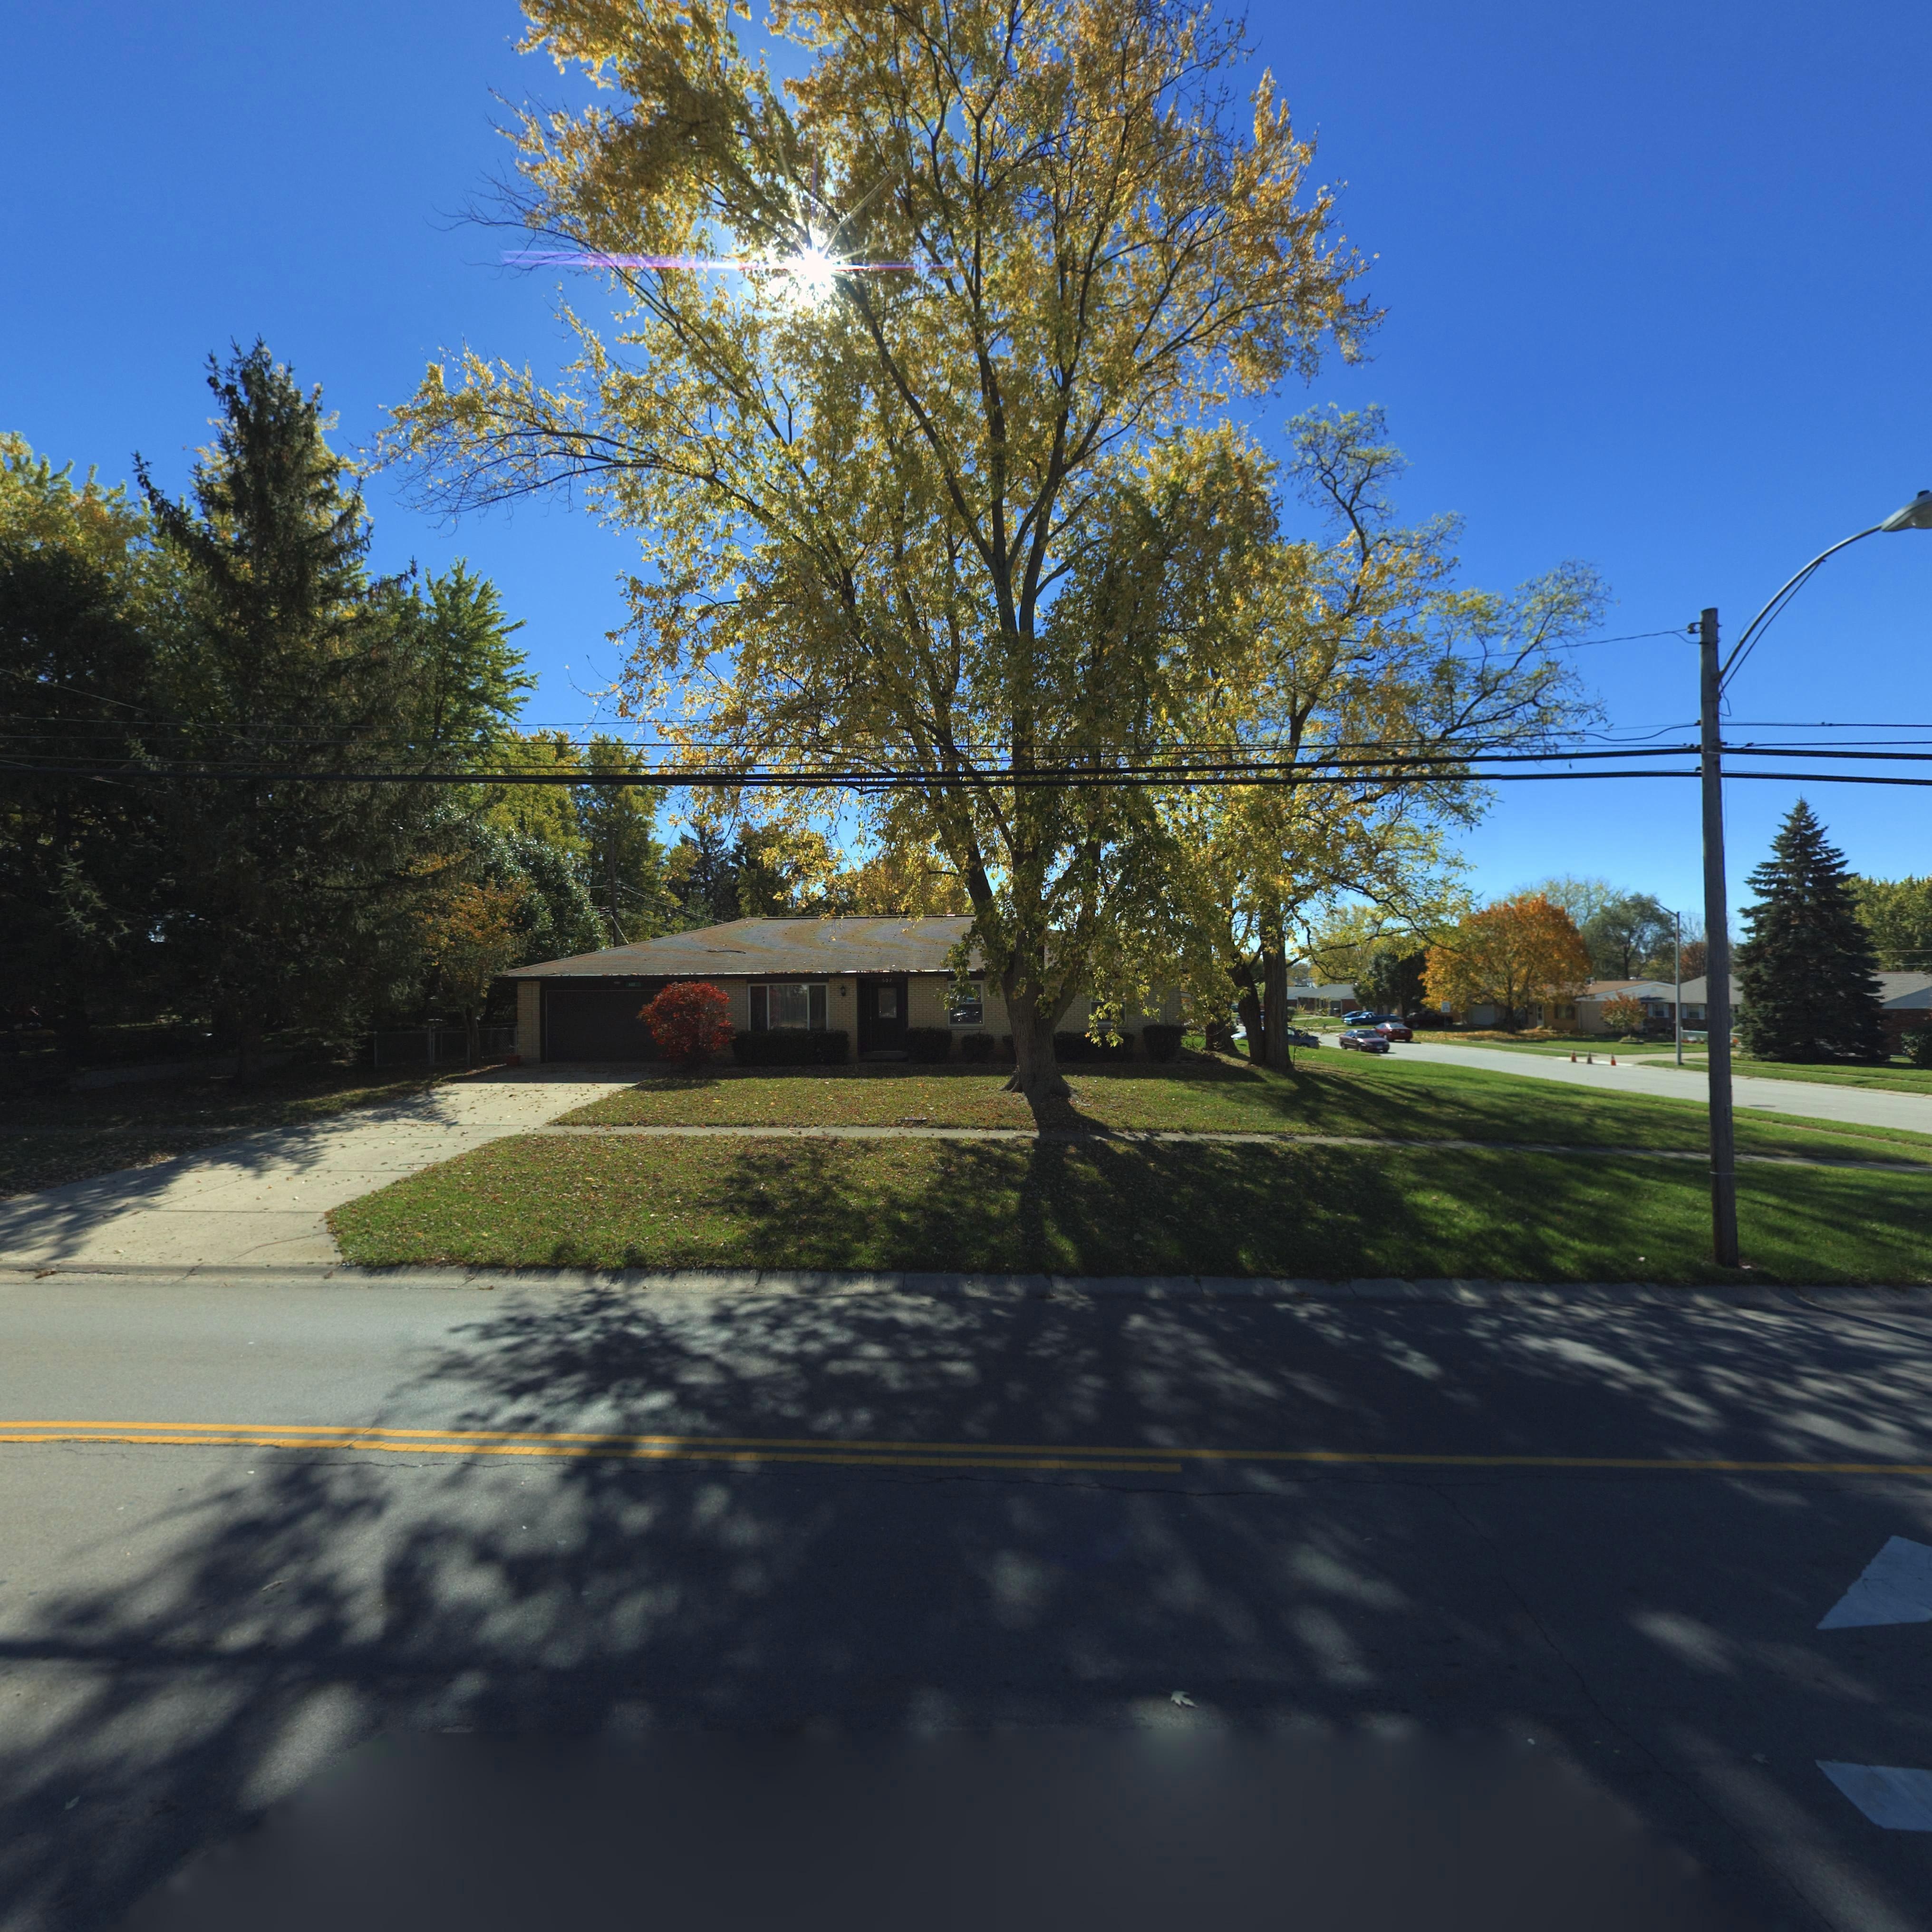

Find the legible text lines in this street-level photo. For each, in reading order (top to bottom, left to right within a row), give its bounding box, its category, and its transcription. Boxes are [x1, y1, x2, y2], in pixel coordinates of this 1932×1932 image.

[881, 978, 892, 983] StreetNumber: 602
[628, 982, 636, 987] StreetNumber: 6*2